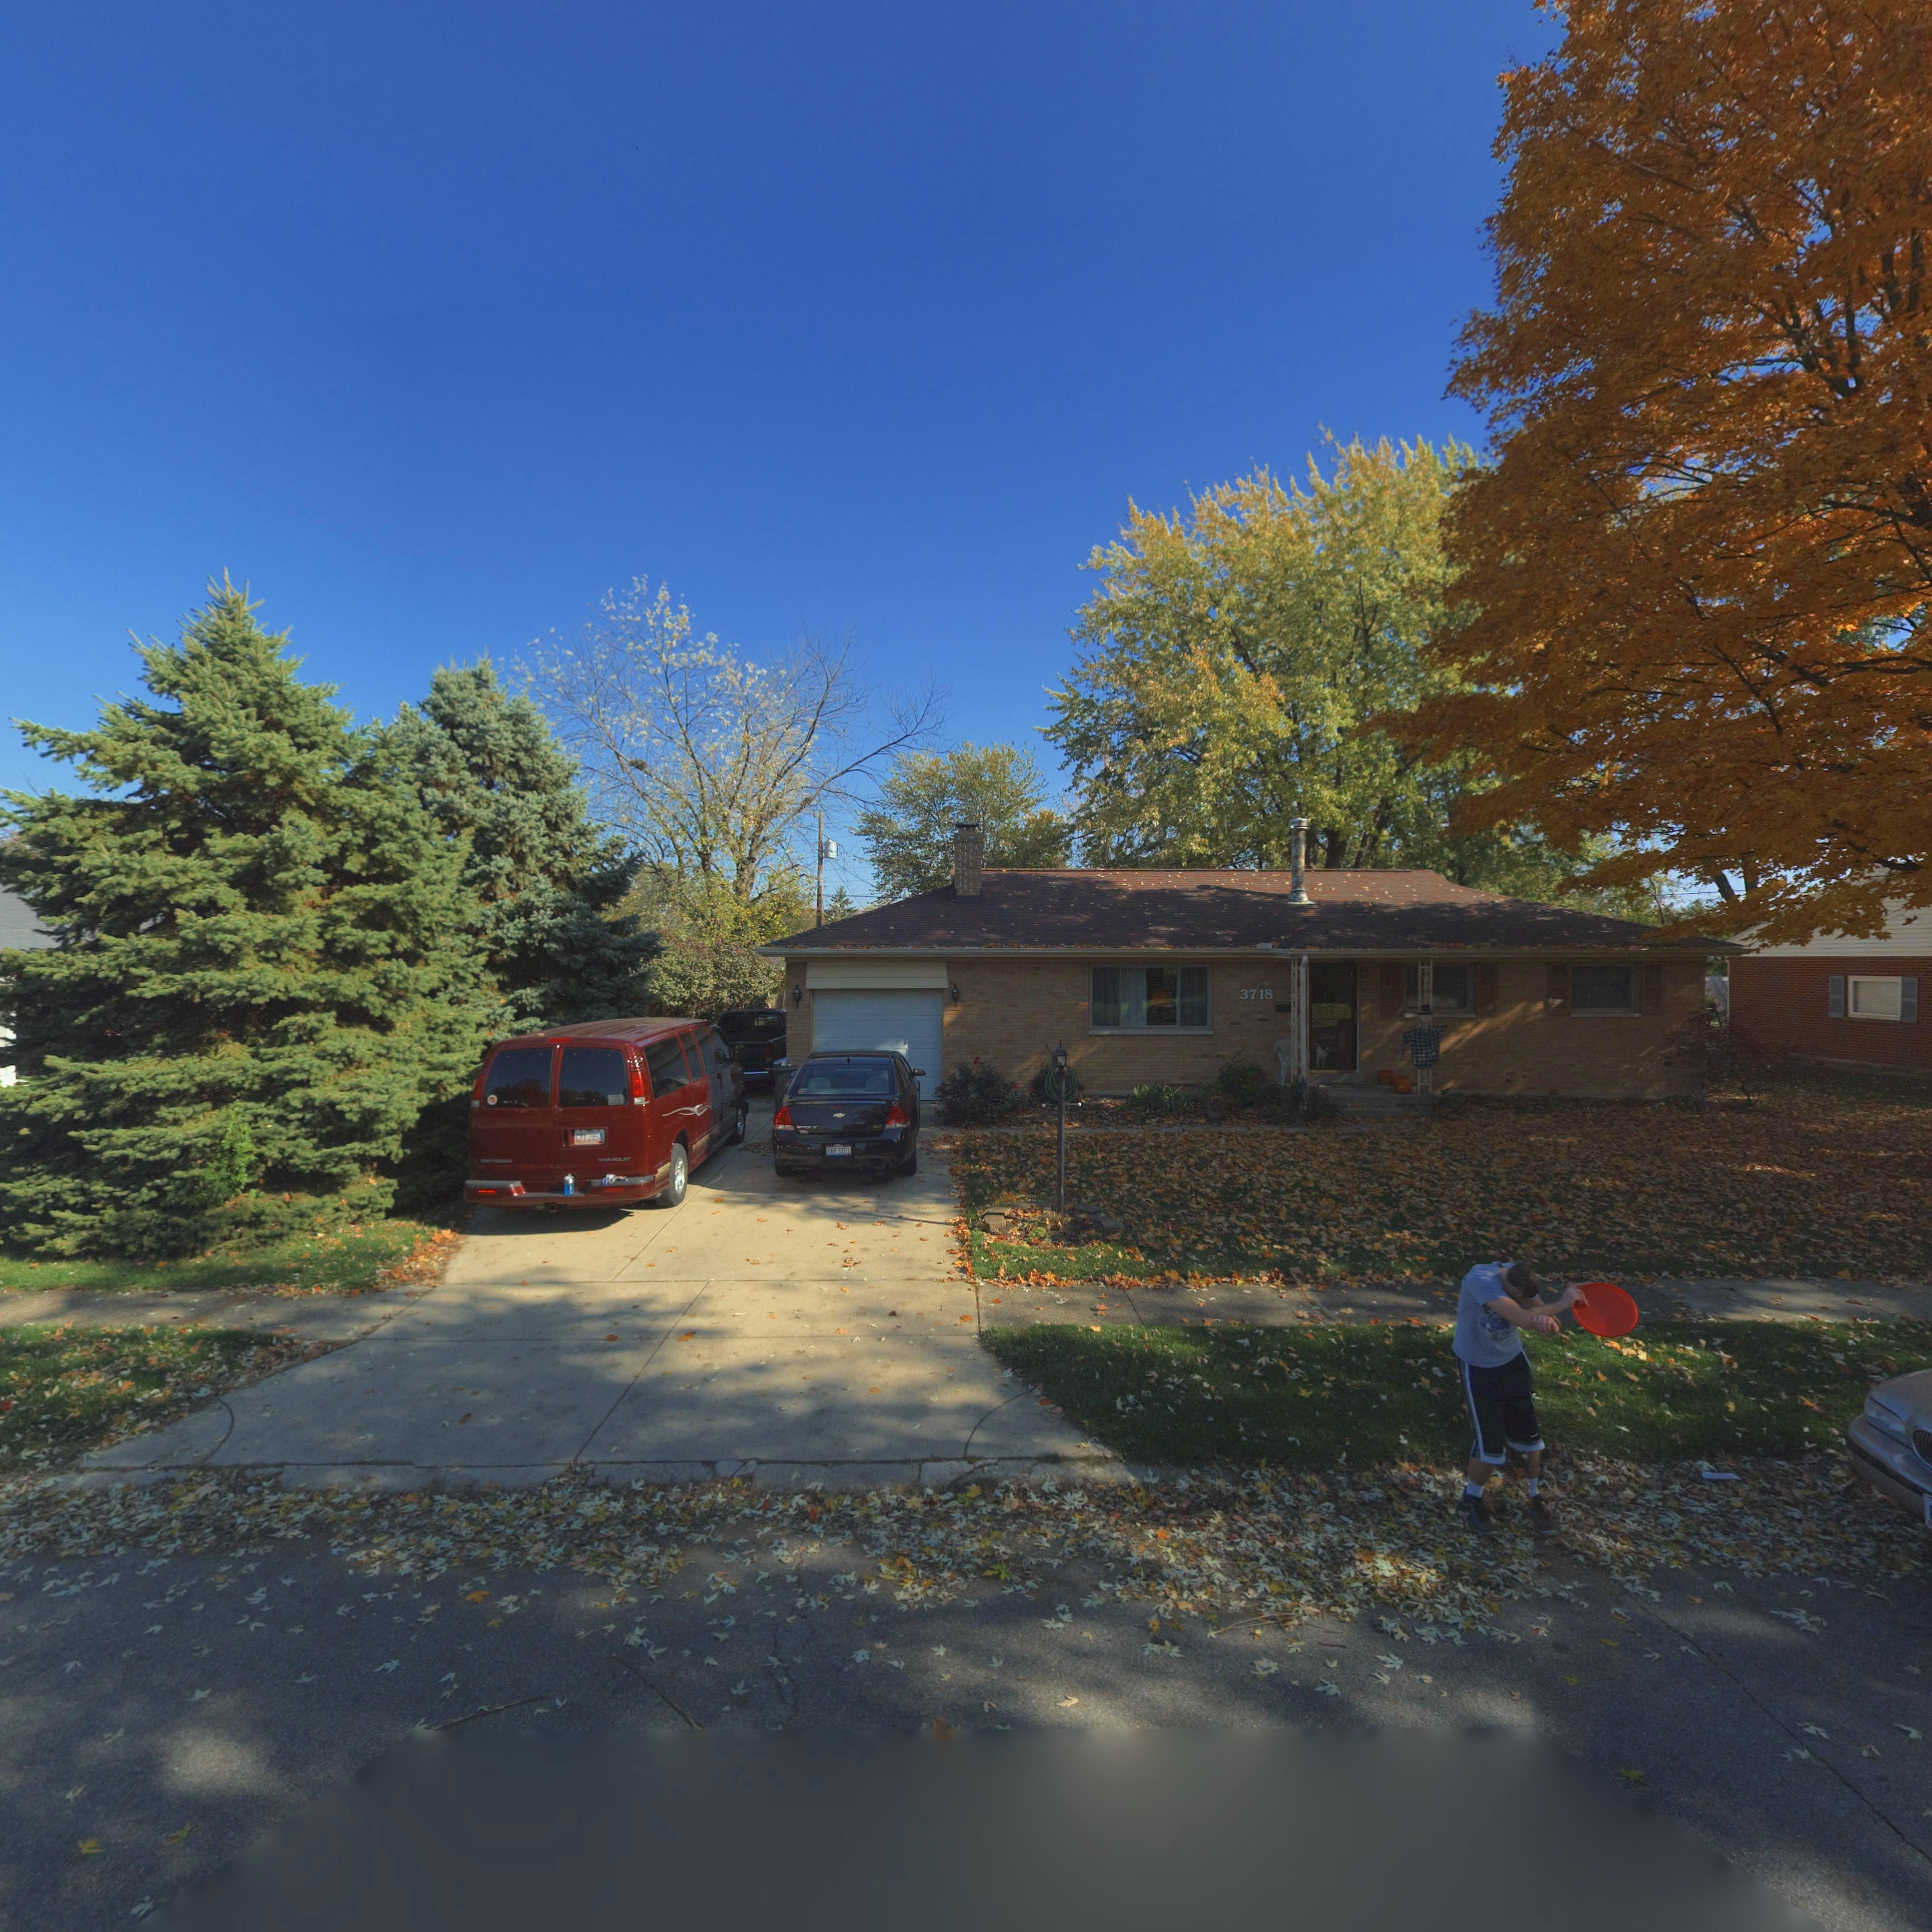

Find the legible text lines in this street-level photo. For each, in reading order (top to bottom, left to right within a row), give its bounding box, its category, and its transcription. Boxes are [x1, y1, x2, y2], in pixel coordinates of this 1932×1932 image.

[1240, 987, 1274, 1001] StreetNumber: 3718